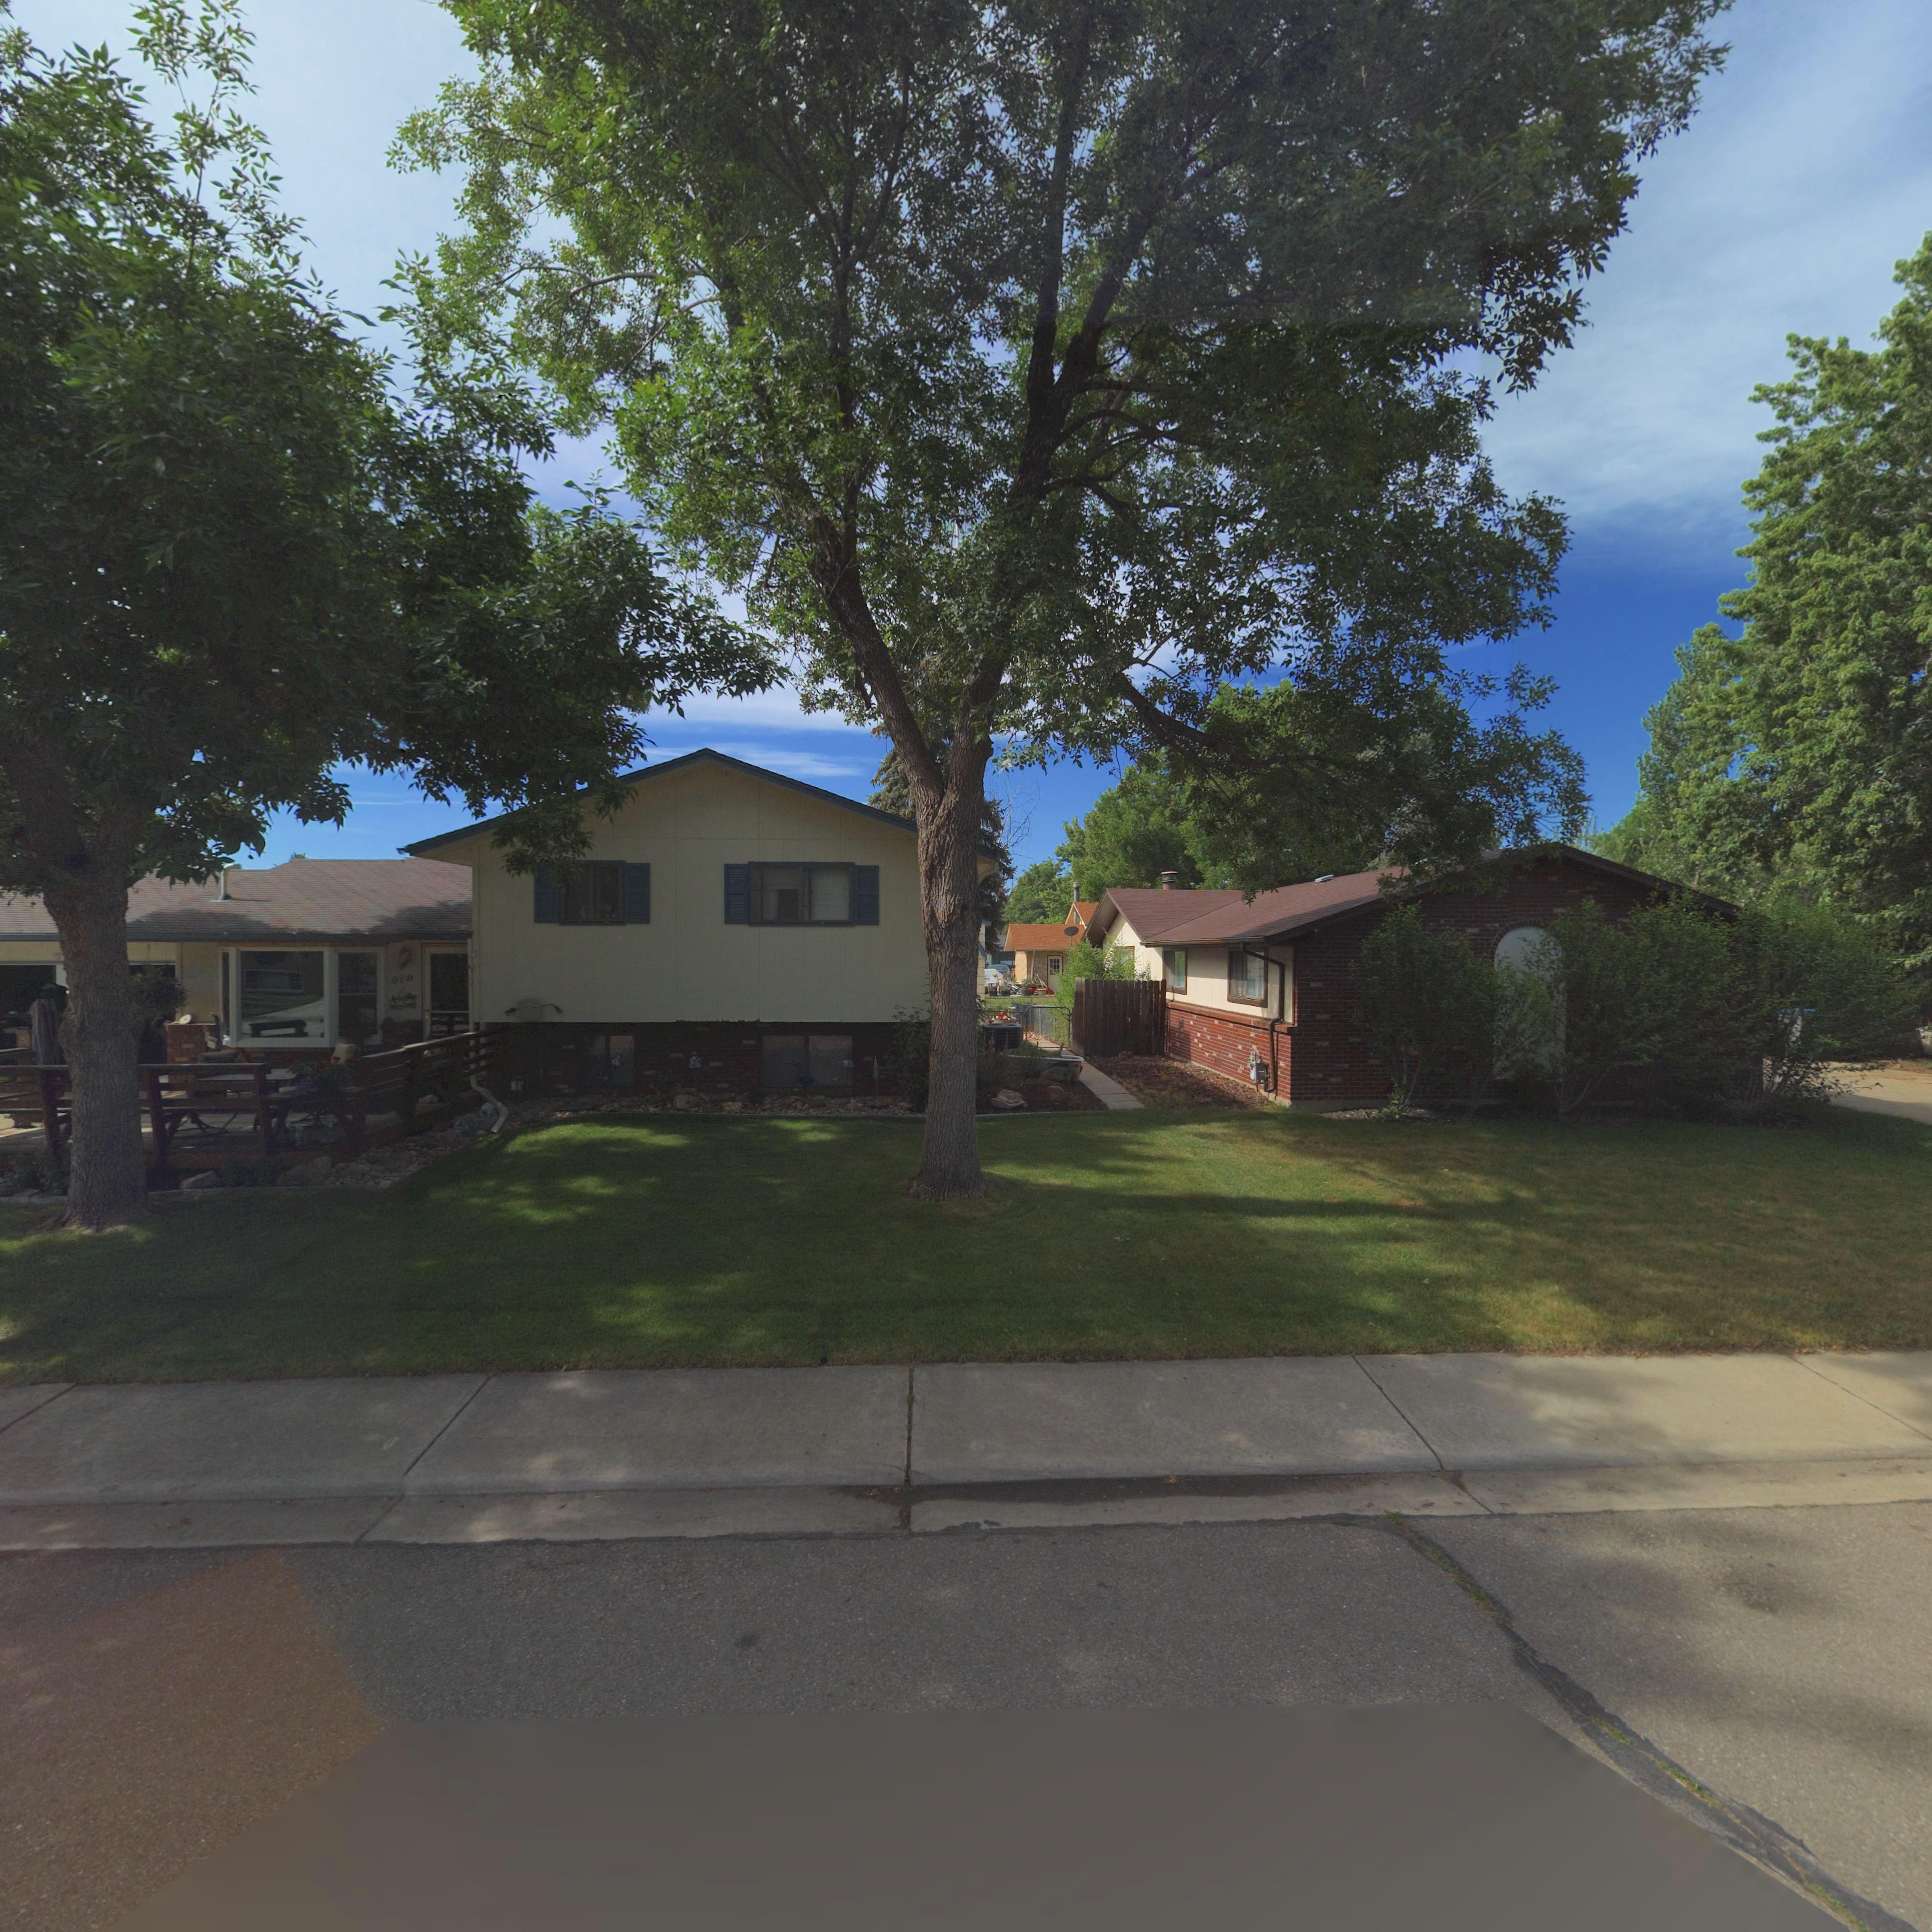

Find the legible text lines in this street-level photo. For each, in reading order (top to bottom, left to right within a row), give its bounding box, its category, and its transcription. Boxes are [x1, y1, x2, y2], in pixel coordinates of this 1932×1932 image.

[391, 973, 415, 985] StreetNumber: *19